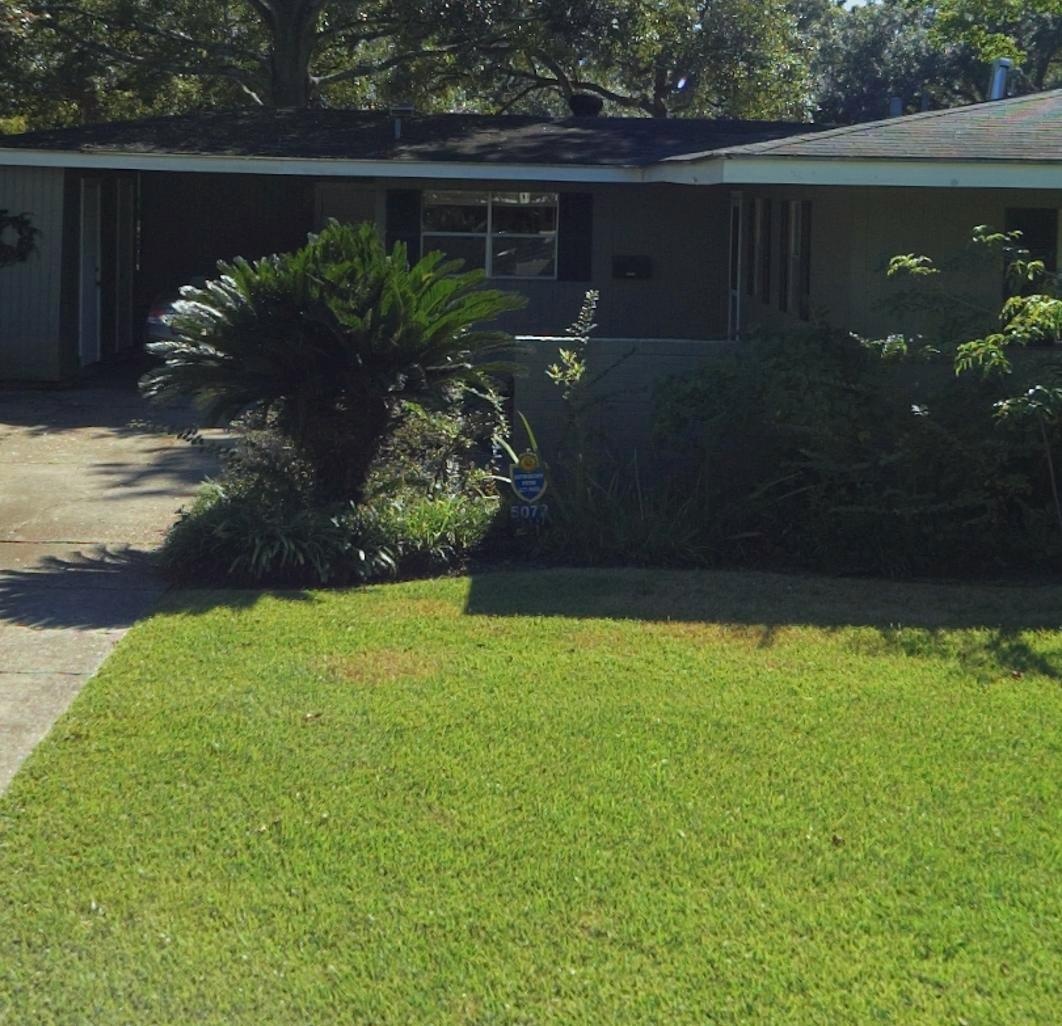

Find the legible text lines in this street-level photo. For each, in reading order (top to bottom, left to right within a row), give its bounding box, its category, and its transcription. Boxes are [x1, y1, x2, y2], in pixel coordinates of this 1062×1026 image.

[510, 504, 549, 519] StreetNumber: 507*